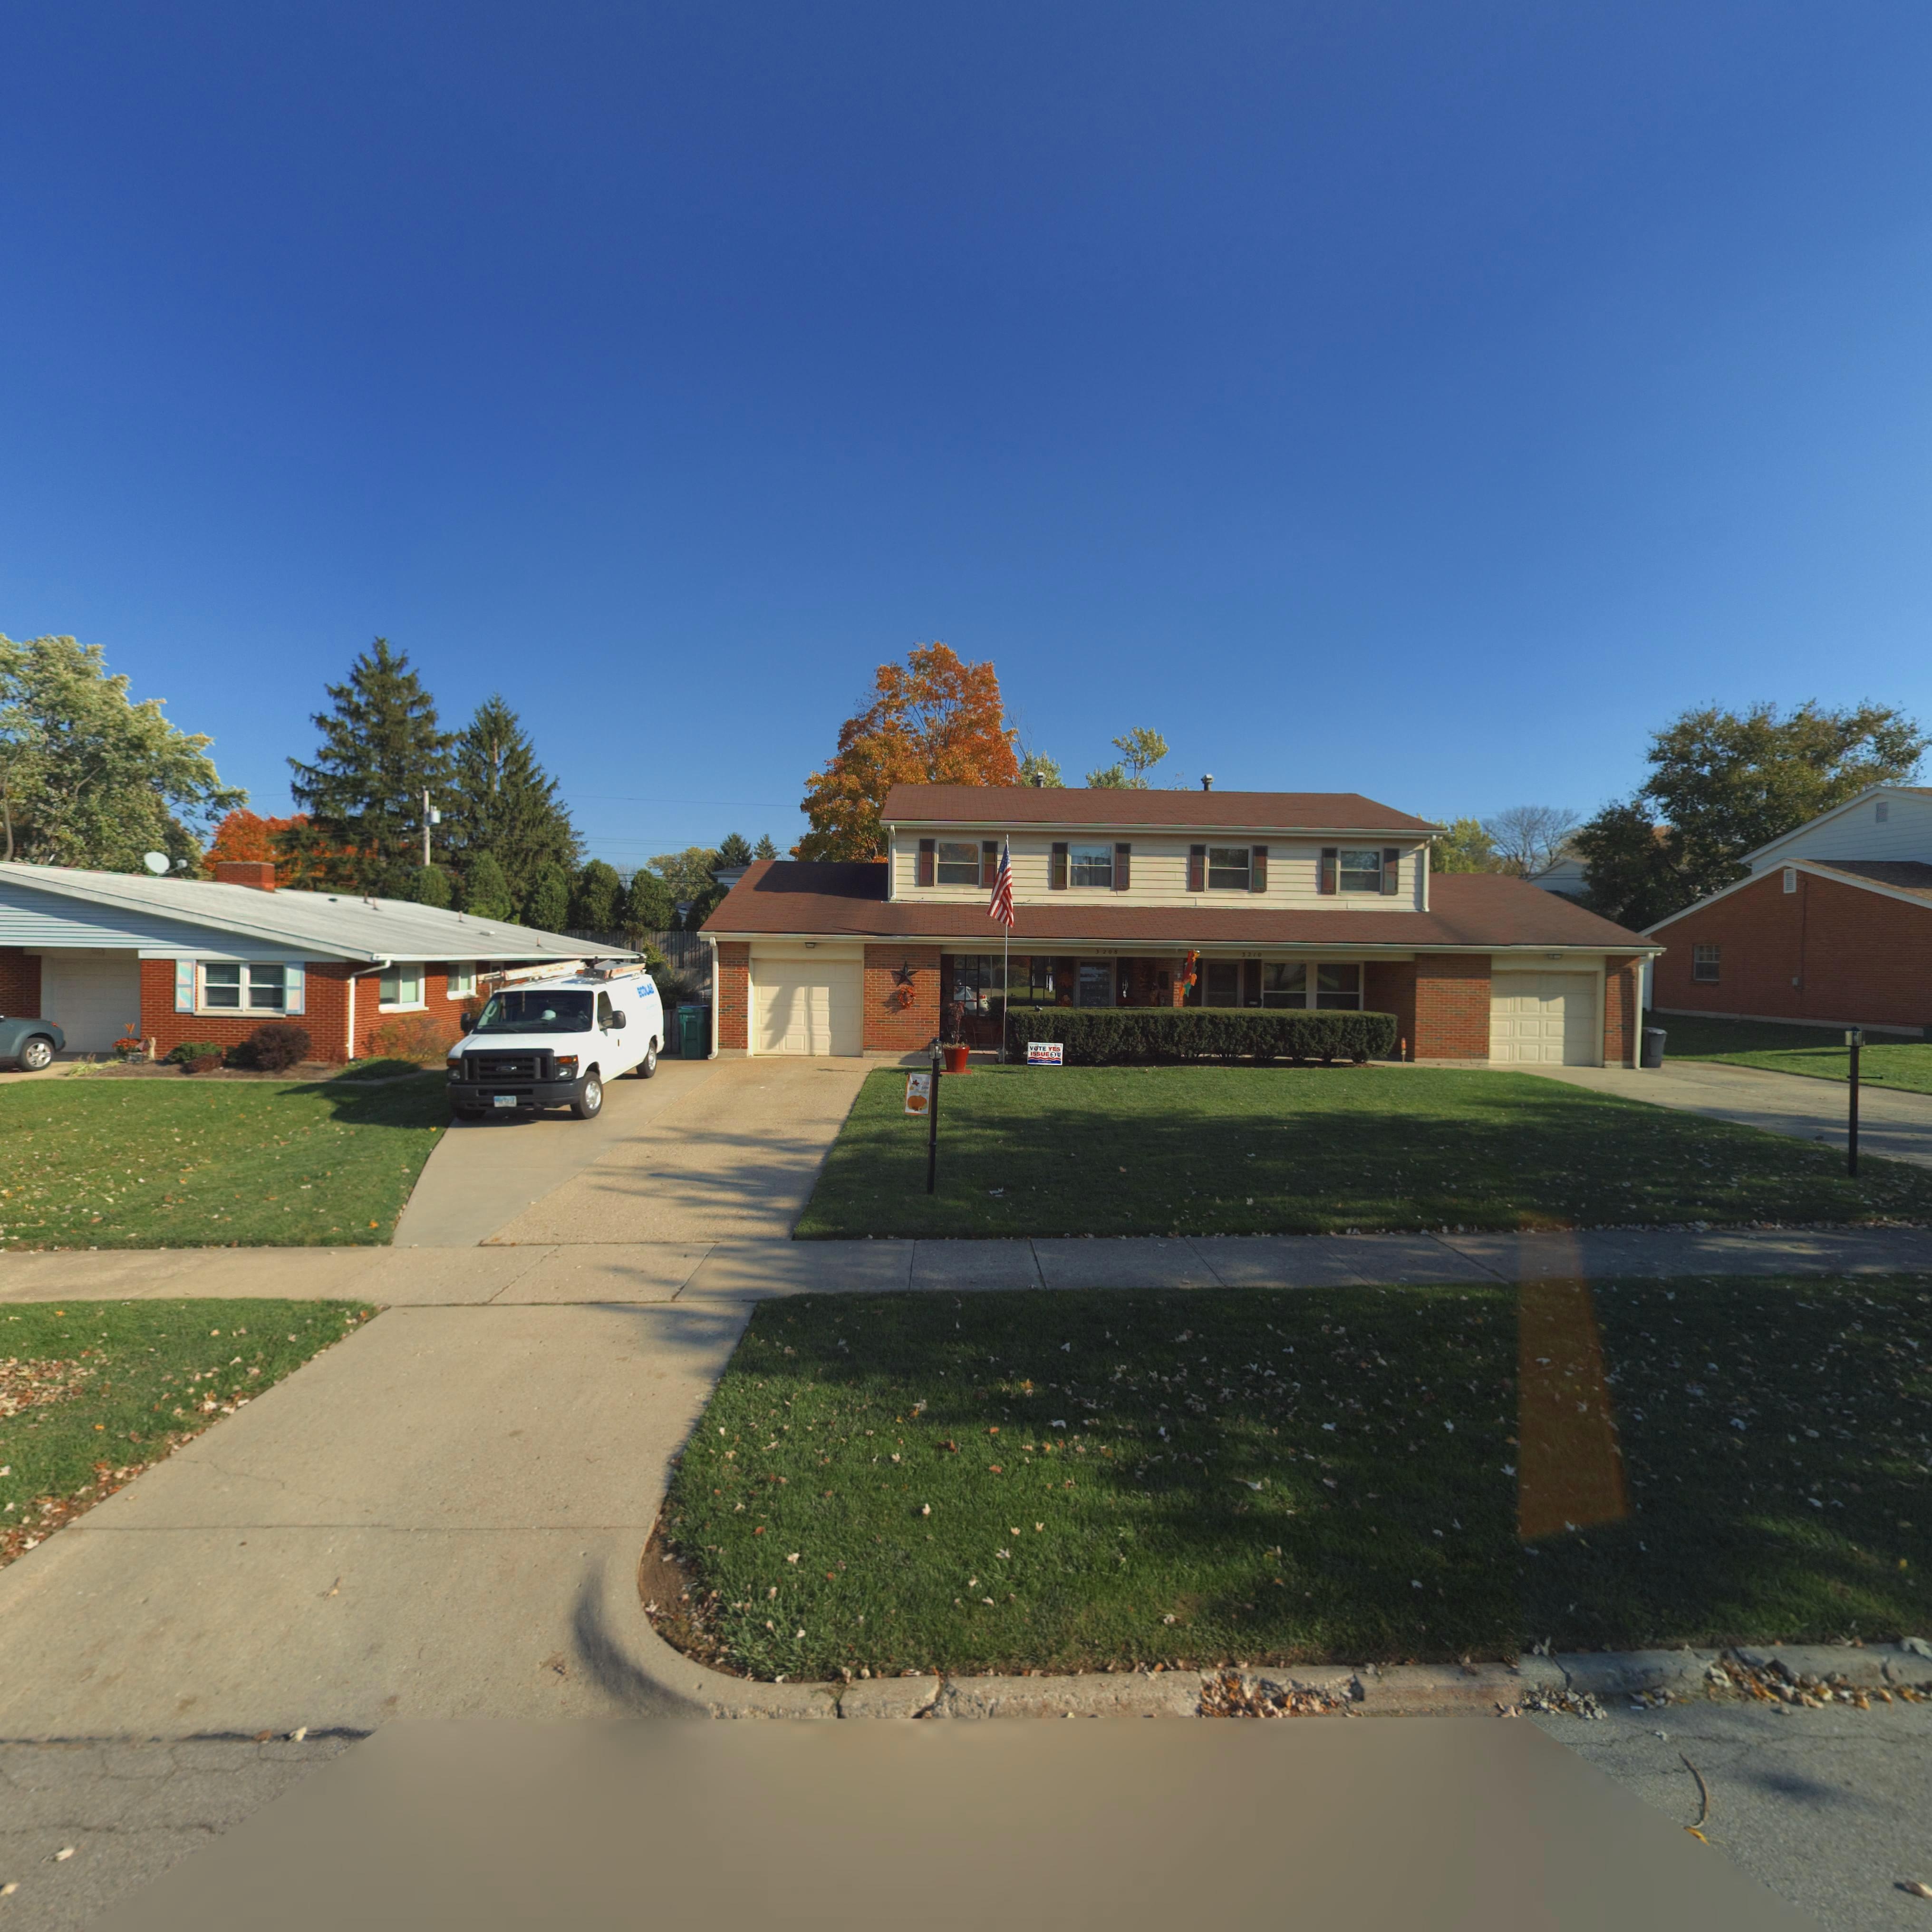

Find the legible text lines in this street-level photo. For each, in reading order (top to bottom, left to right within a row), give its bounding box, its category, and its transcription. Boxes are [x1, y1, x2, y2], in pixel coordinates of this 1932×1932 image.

[1095, 948, 1118, 955] StreetNumber: 3208
[1240, 951, 1261, 957] StreetNumber: 3210